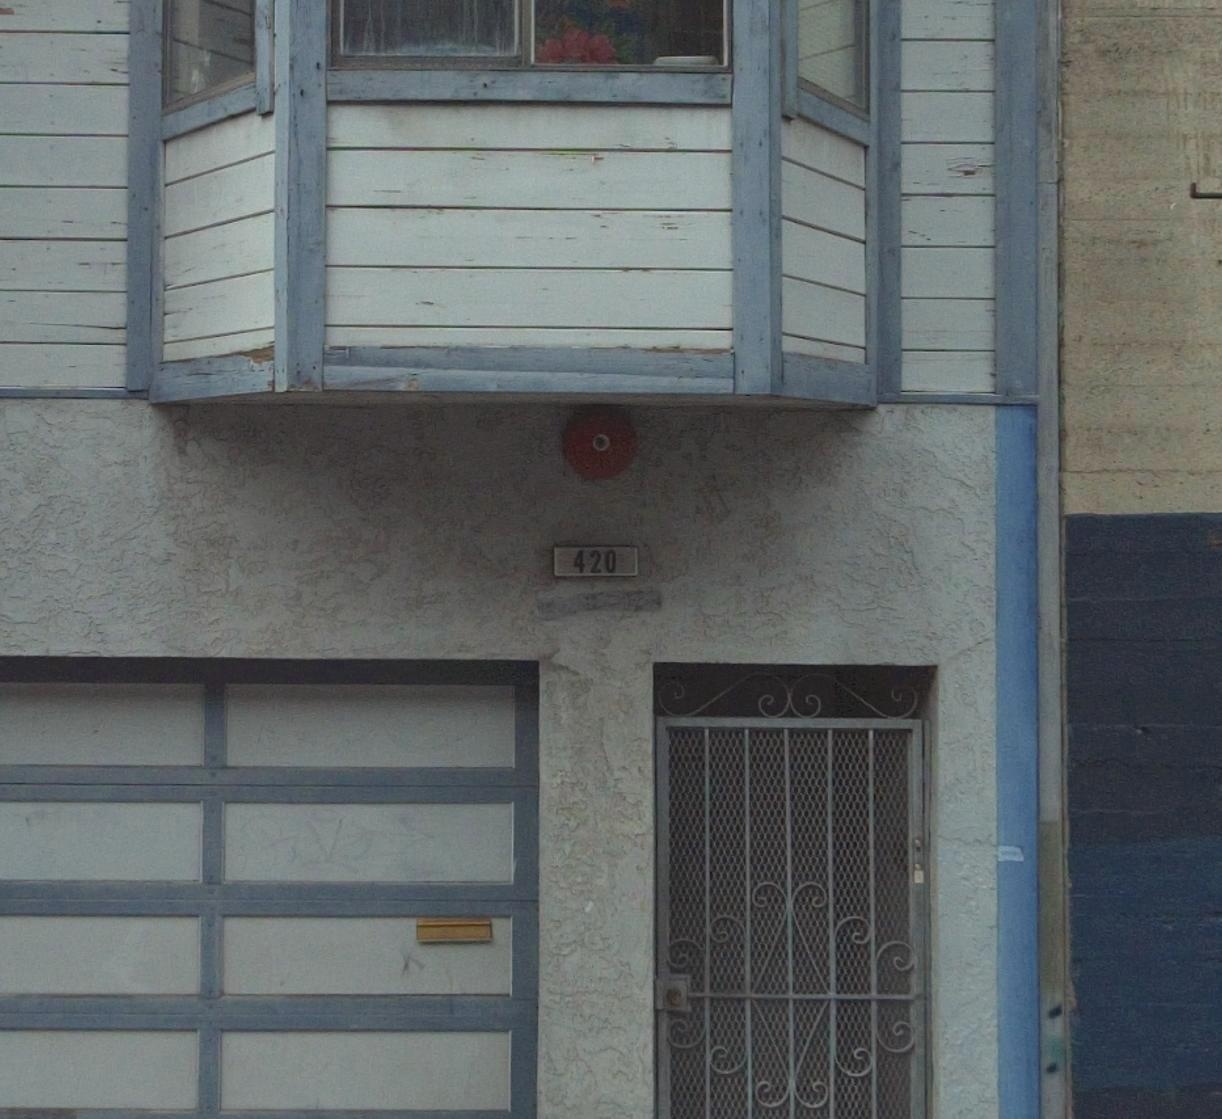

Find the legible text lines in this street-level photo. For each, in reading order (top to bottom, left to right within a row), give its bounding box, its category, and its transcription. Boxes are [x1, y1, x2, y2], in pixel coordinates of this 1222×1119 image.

[570, 547, 619, 576] StreetNumber: 420